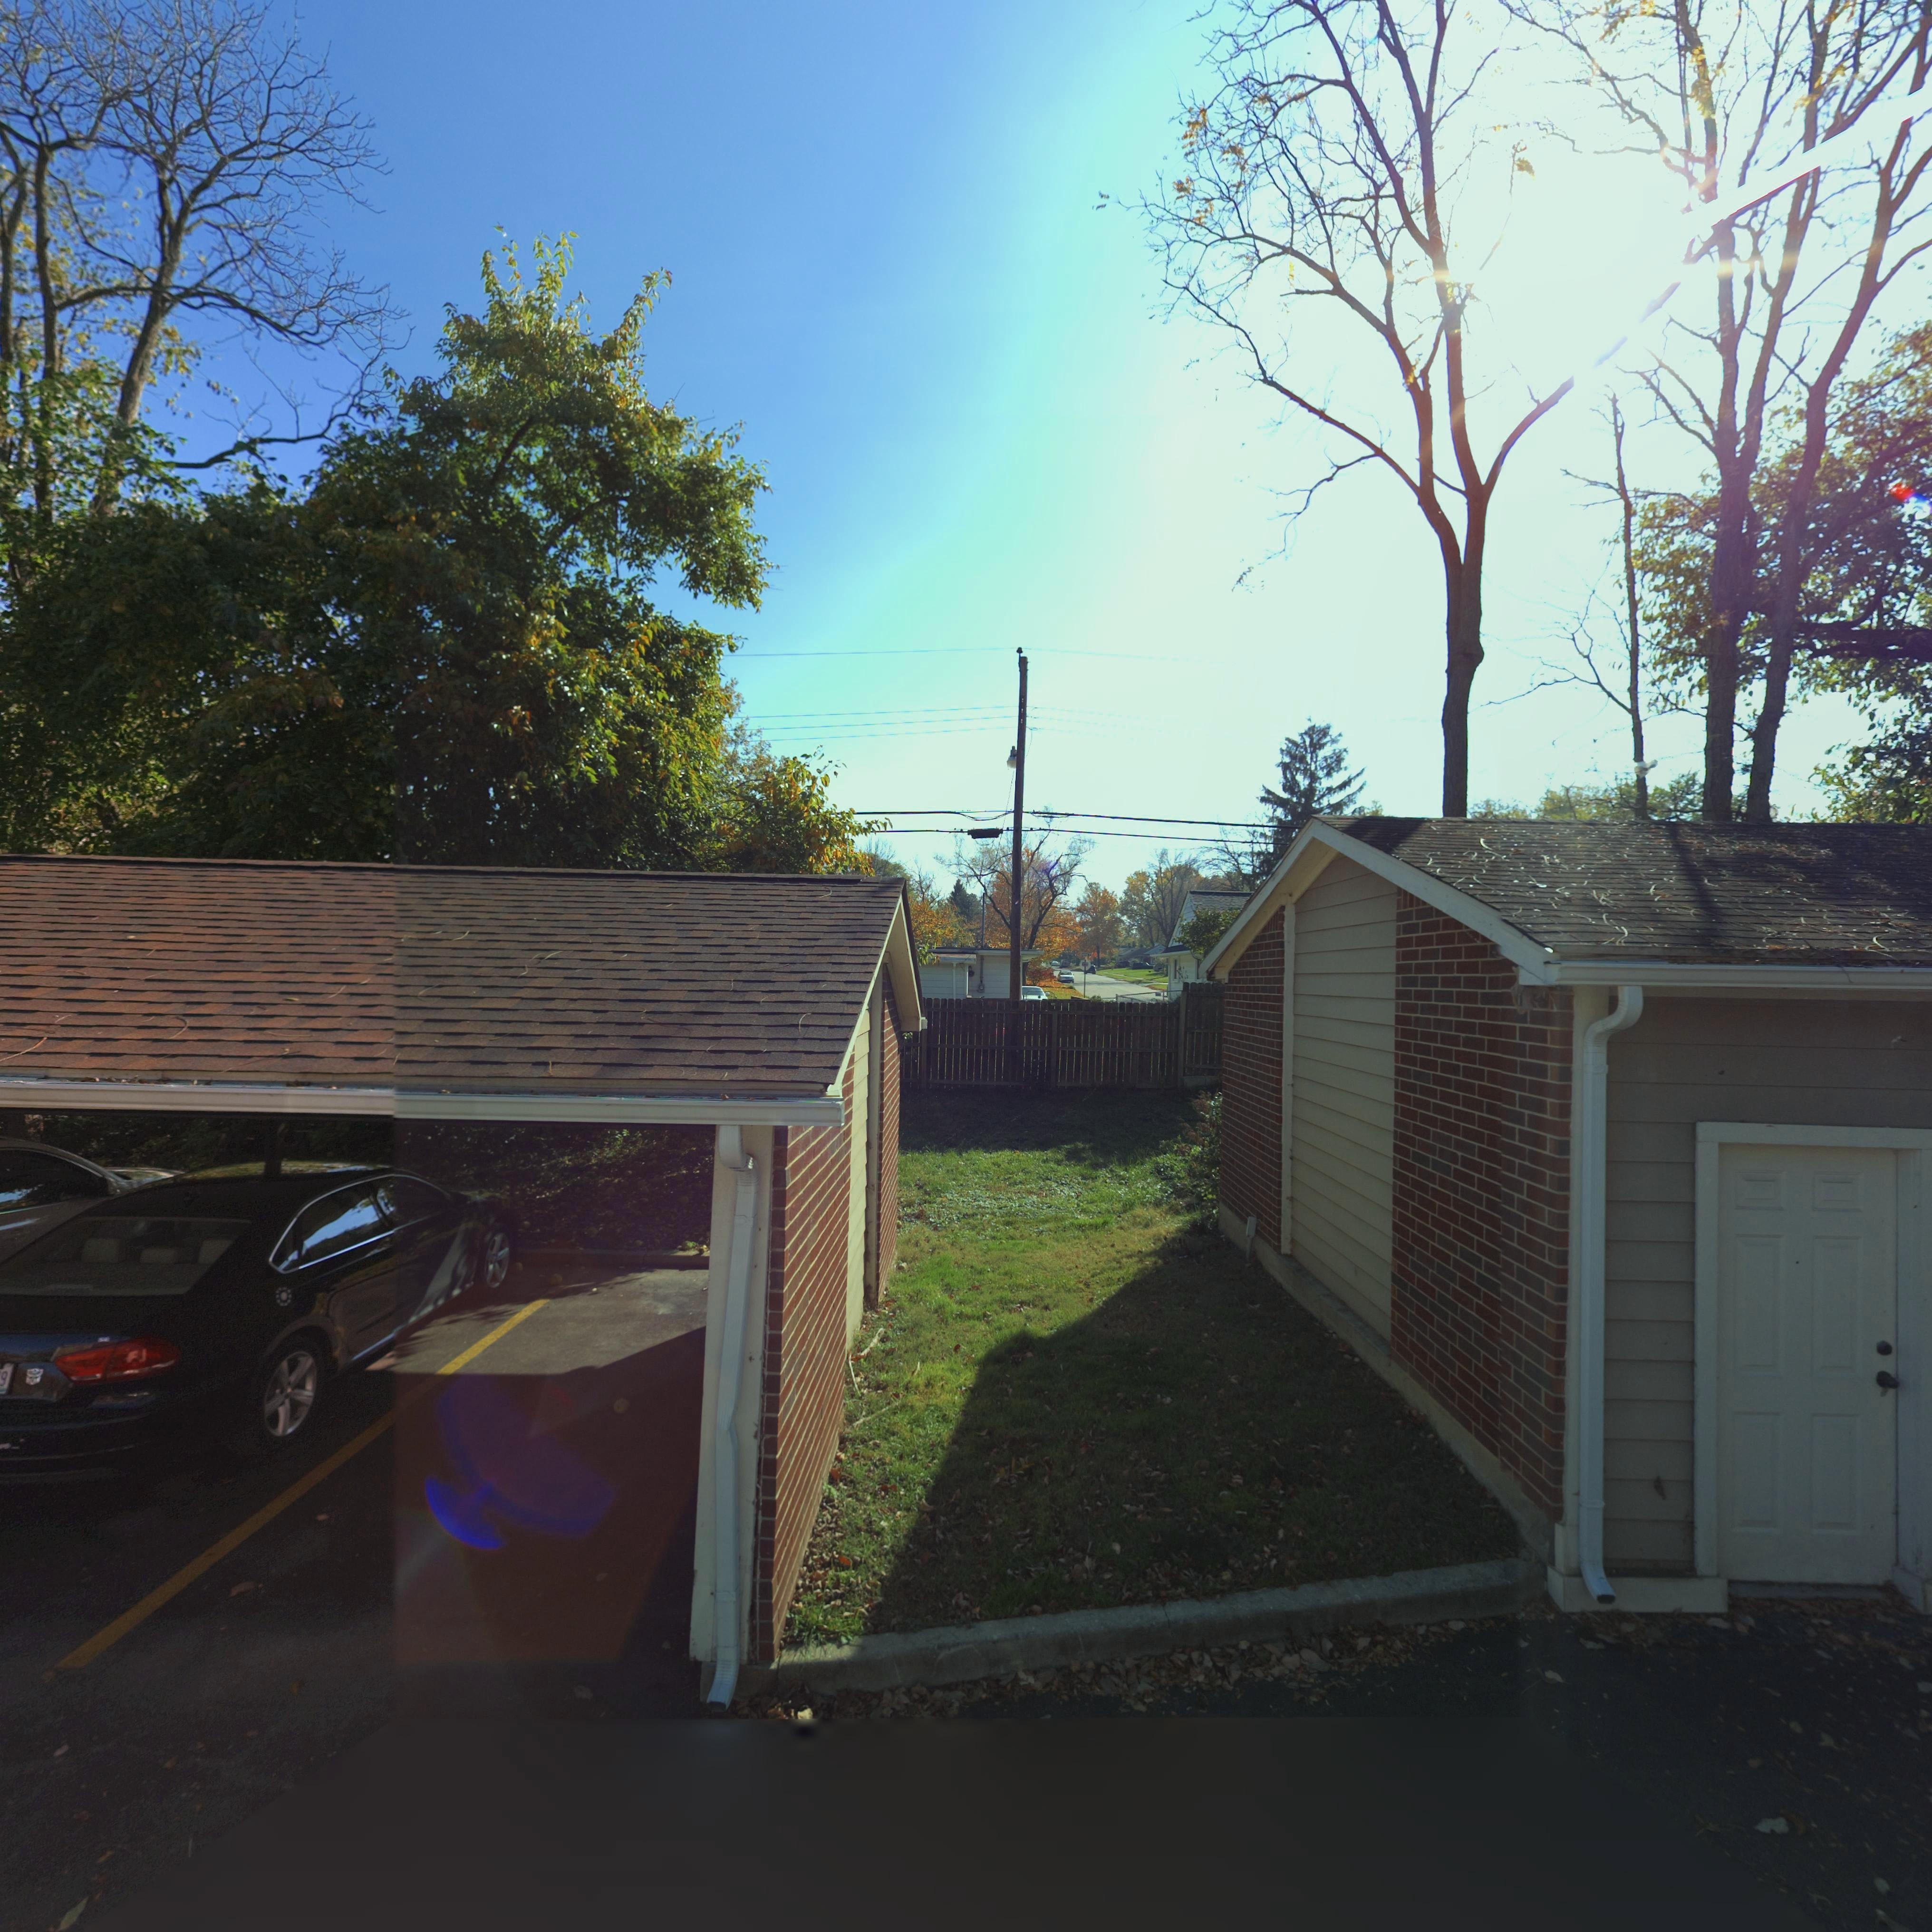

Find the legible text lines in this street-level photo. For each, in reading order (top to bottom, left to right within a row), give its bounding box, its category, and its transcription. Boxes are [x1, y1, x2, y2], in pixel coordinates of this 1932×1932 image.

[0, 1370, 9, 1387] None: 9